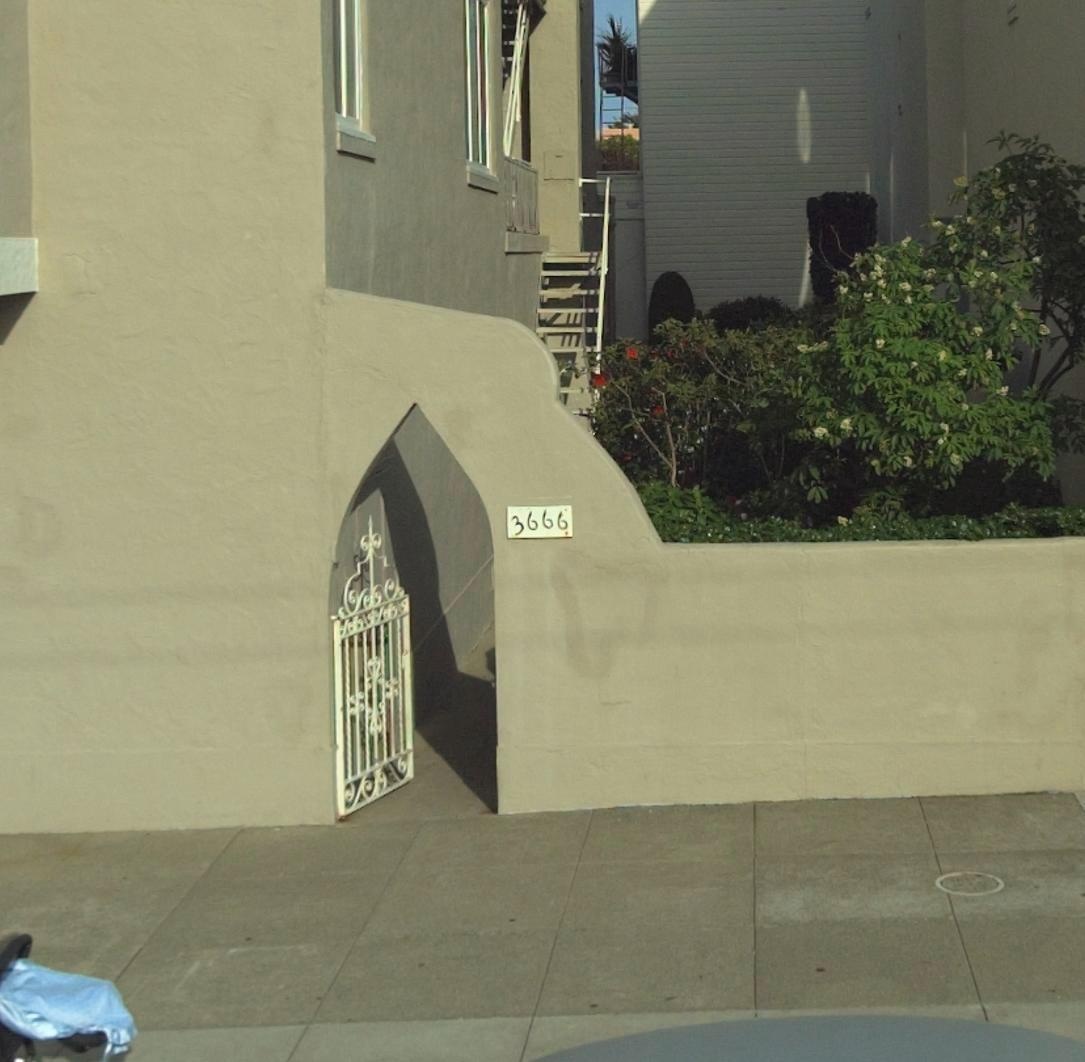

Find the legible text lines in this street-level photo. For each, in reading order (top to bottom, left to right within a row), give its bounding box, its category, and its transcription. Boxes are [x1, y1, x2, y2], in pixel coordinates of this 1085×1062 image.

[508, 507, 572, 539] StreetNumber: 3666